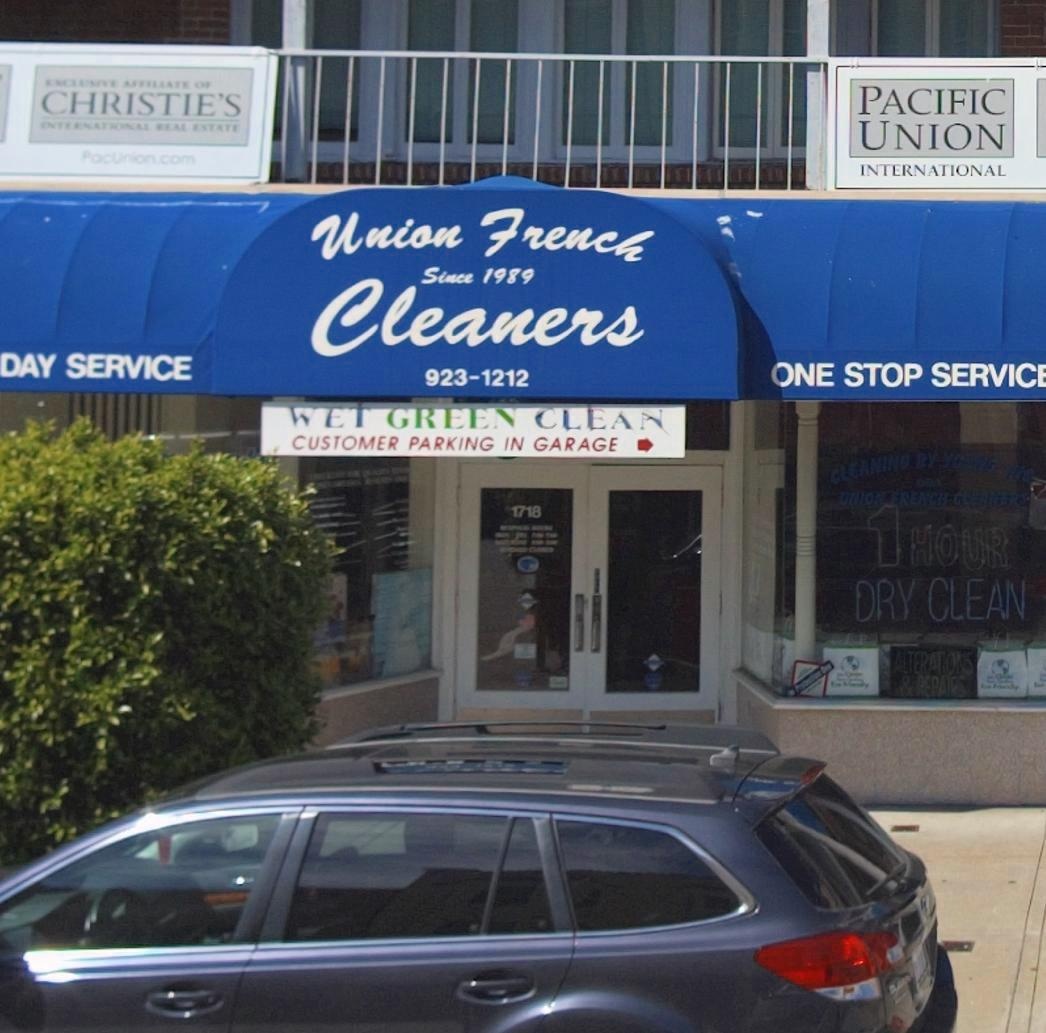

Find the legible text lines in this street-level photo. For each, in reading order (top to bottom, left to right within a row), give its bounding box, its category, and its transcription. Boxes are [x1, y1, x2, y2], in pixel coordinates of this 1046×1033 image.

[44, 78, 211, 88] None: EXCLUSIVE AFFILIATE OF
[41, 89, 243, 118] BusinessName: CHRISTIE'S
[860, 86, 1007, 115] BusinessName: PACIFIC
[38, 120, 240, 133] BusinessName: INTERNATIONAL REAL ESTATE
[857, 120, 1007, 152] BusinessName: UNION
[81, 150, 196, 166] None: PacUnion.com
[860, 163, 1007, 177] BusinessName: INTERNATIONAL
[310, 207, 656, 263] BusinessName: Union French
[421, 266, 537, 285] None: Since 1989
[308, 277, 645, 361] BusinessName: Cleaners
[1, 352, 194, 382] None: DAY SERVICE
[424, 368, 530, 387] None: 923-1212
[770, 361, 1038, 390] None: ONE STOP SERVIC
[290, 406, 664, 431] None: WET GREEN CLEAN
[291, 435, 656, 452] None: CUSTOMER PARKING IN GARAGE ->
[828, 448, 940, 484] None: CLEANING BY
[512, 505, 541, 519] StreetNumber: 1718
[834, 491, 1028, 507] BusinessName: UNION FRENCH CLEANERS
[867, 503, 1010, 567] None: 1HOUR
[855, 577, 1027, 624] None: DRY CLEAN
[892, 650, 976, 676] None: ALTERATIONS
[898, 676, 968, 699] None: & REPAIRS